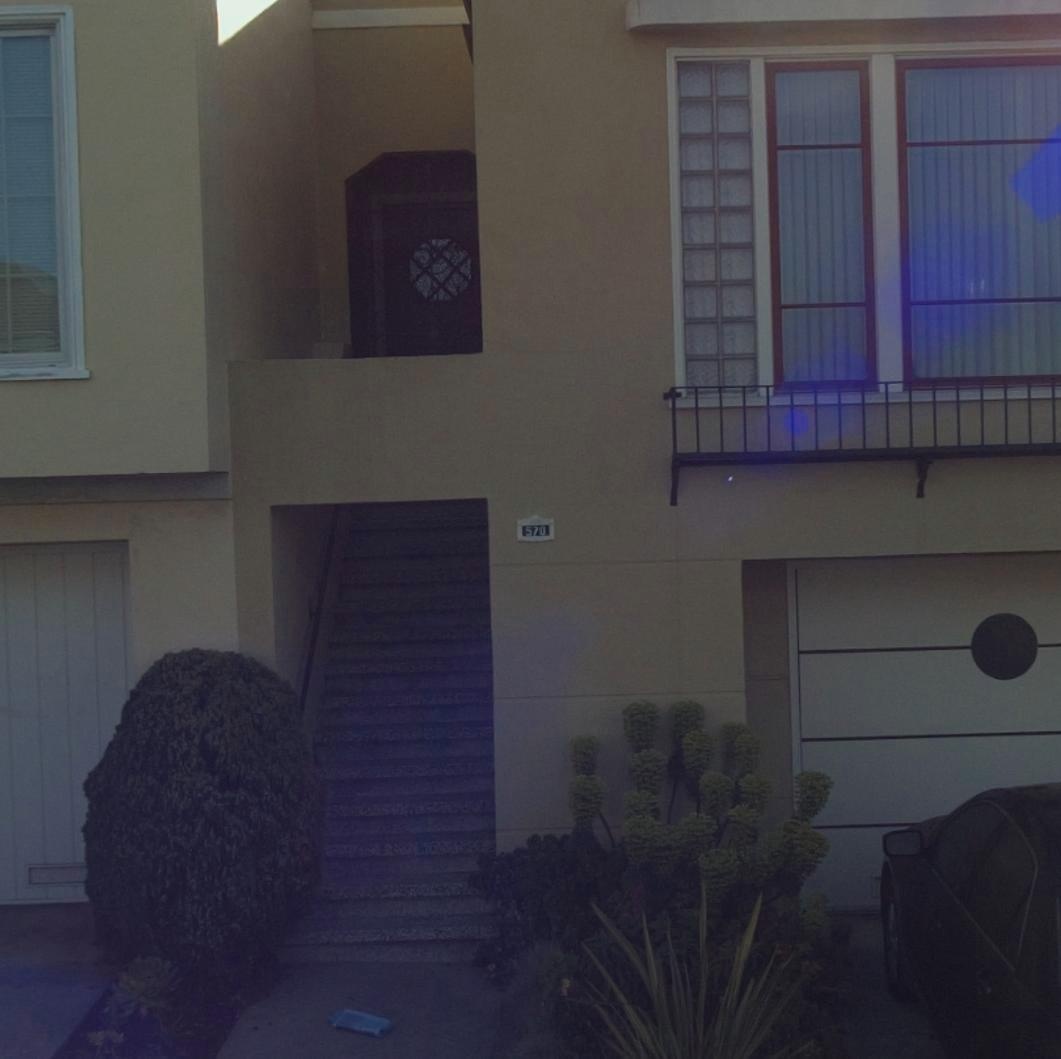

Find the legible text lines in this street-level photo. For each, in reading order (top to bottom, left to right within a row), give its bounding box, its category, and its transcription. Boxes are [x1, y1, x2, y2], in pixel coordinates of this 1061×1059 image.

[523, 524, 548, 537] StreetNumber: 570